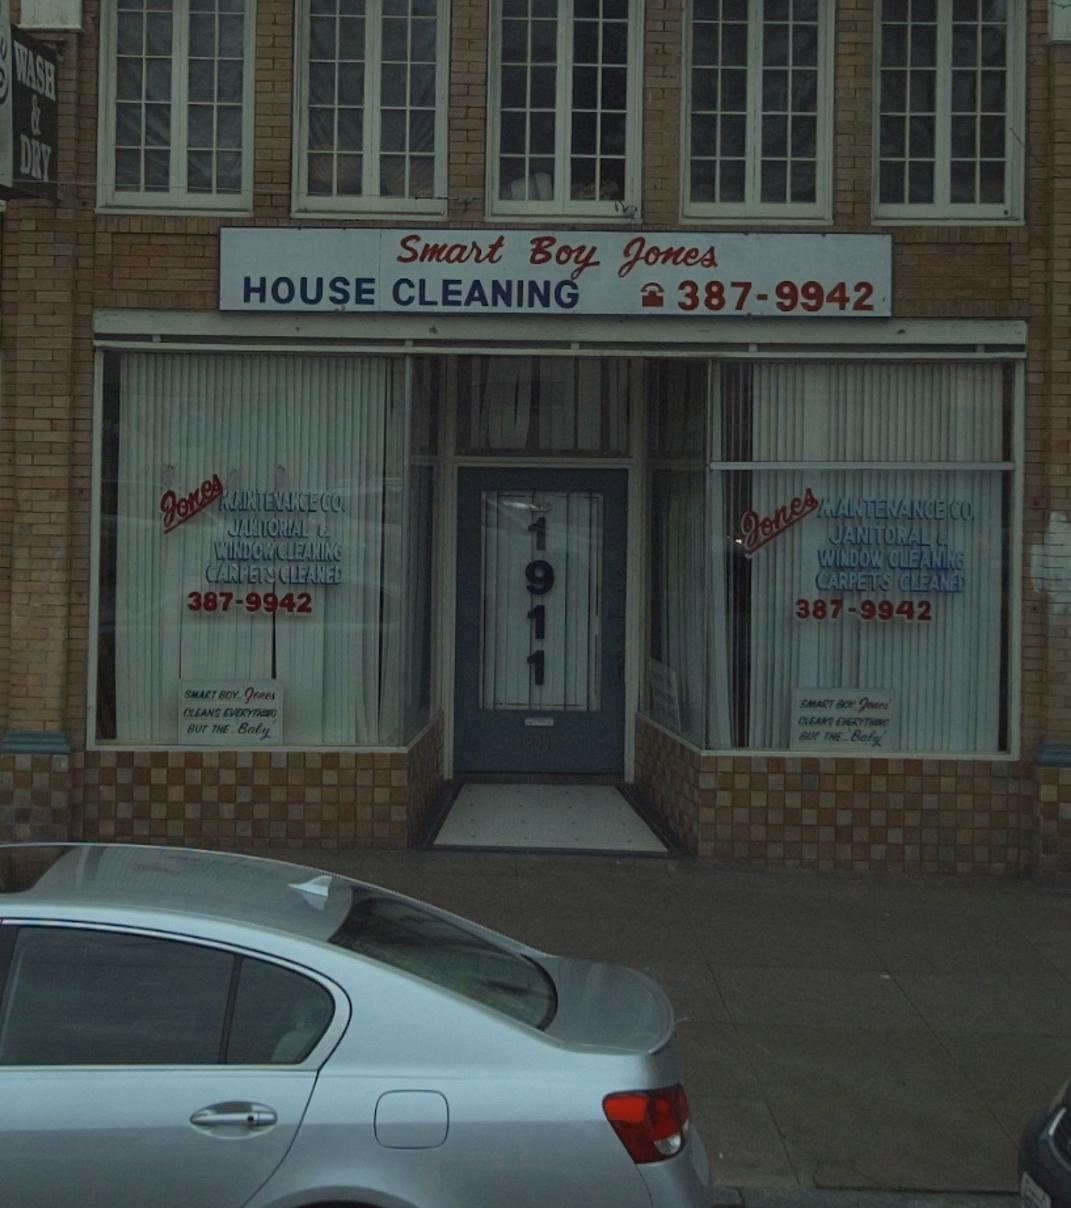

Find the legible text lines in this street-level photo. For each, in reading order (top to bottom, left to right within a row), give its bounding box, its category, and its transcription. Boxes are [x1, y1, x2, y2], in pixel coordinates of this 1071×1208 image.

[12, 37, 58, 103] None: WASH
[30, 91, 43, 140] None: &
[18, 132, 53, 184] None: DRY
[397, 234, 719, 280] BusinessName: Smart Boy Jones
[243, 273, 581, 310] None: HOUSE CLEANING
[677, 279, 876, 312] None: 387-9942
[158, 471, 225, 532] BusinessName: Jones
[225, 516, 330, 539] None: JANITORIAL &
[217, 490, 347, 513] BusinessName: MAINTENANCE CO.
[739, 485, 816, 555] BusinessName: Jones
[829, 522, 950, 545] None: JANITORAL &
[816, 495, 976, 522] BusinessName: MAINTENANCE CO.
[212, 538, 343, 562] None: WINDOW CLEANING
[816, 547, 967, 569] None: WINDOW CLEANING
[205, 562, 344, 585] None: CARPETS CLEANED
[815, 570, 966, 593] None: CARPETS CLEANED
[185, 590, 313, 615] None: 387-9942
[523, 515, 555, 686] StreetNumber: 1911
[794, 597, 933, 622] None: 387-9942
[184, 721, 273, 742] None: BUT THE Baby
[183, 686, 275, 705] BusinessName: SMART BOY Jones
[182, 705, 279, 721] None: CLEANS EVERYTHING
[796, 727, 883, 748] None: BUT THE Baby
[798, 695, 889, 715] BusinessName: SMART BOY Jones
[797, 714, 890, 729] None: CLEANS EVERYTHING